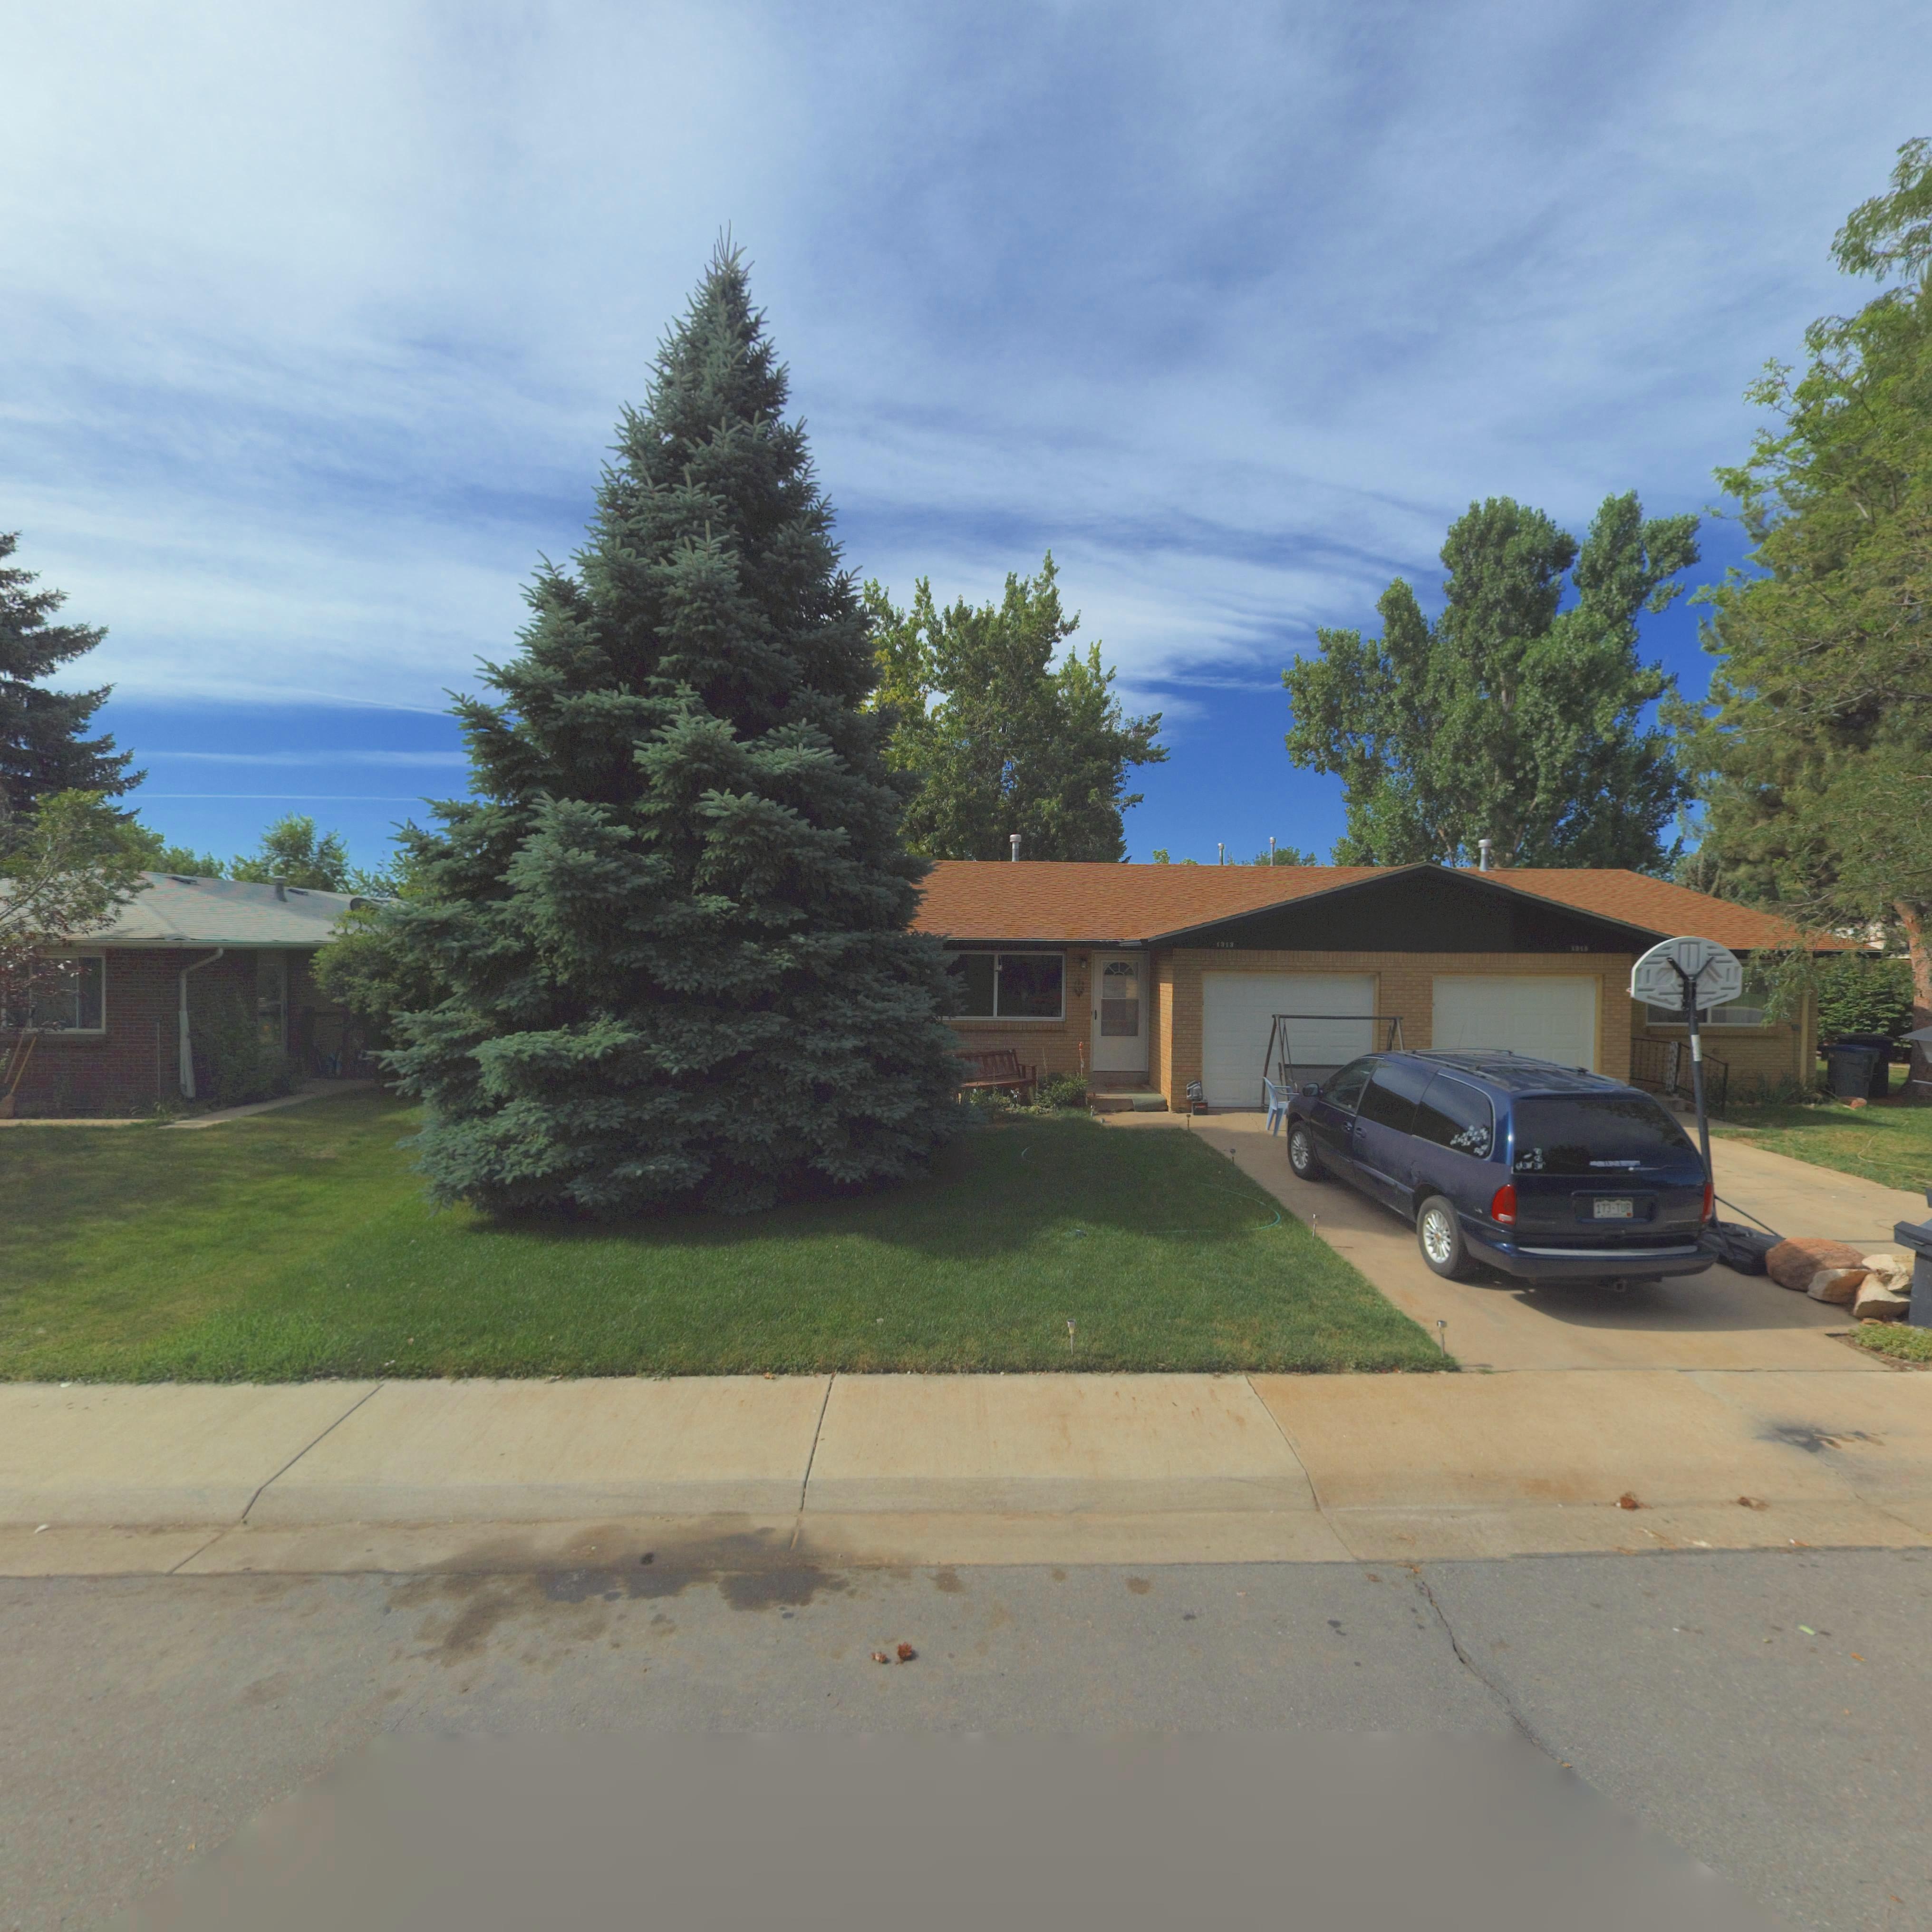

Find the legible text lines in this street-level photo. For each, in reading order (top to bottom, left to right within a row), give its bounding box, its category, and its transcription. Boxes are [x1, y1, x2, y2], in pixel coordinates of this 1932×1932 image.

[1217, 942, 1234, 947] StreetNumber: 1313
[1571, 946, 1588, 951] StreetNumber: 1315